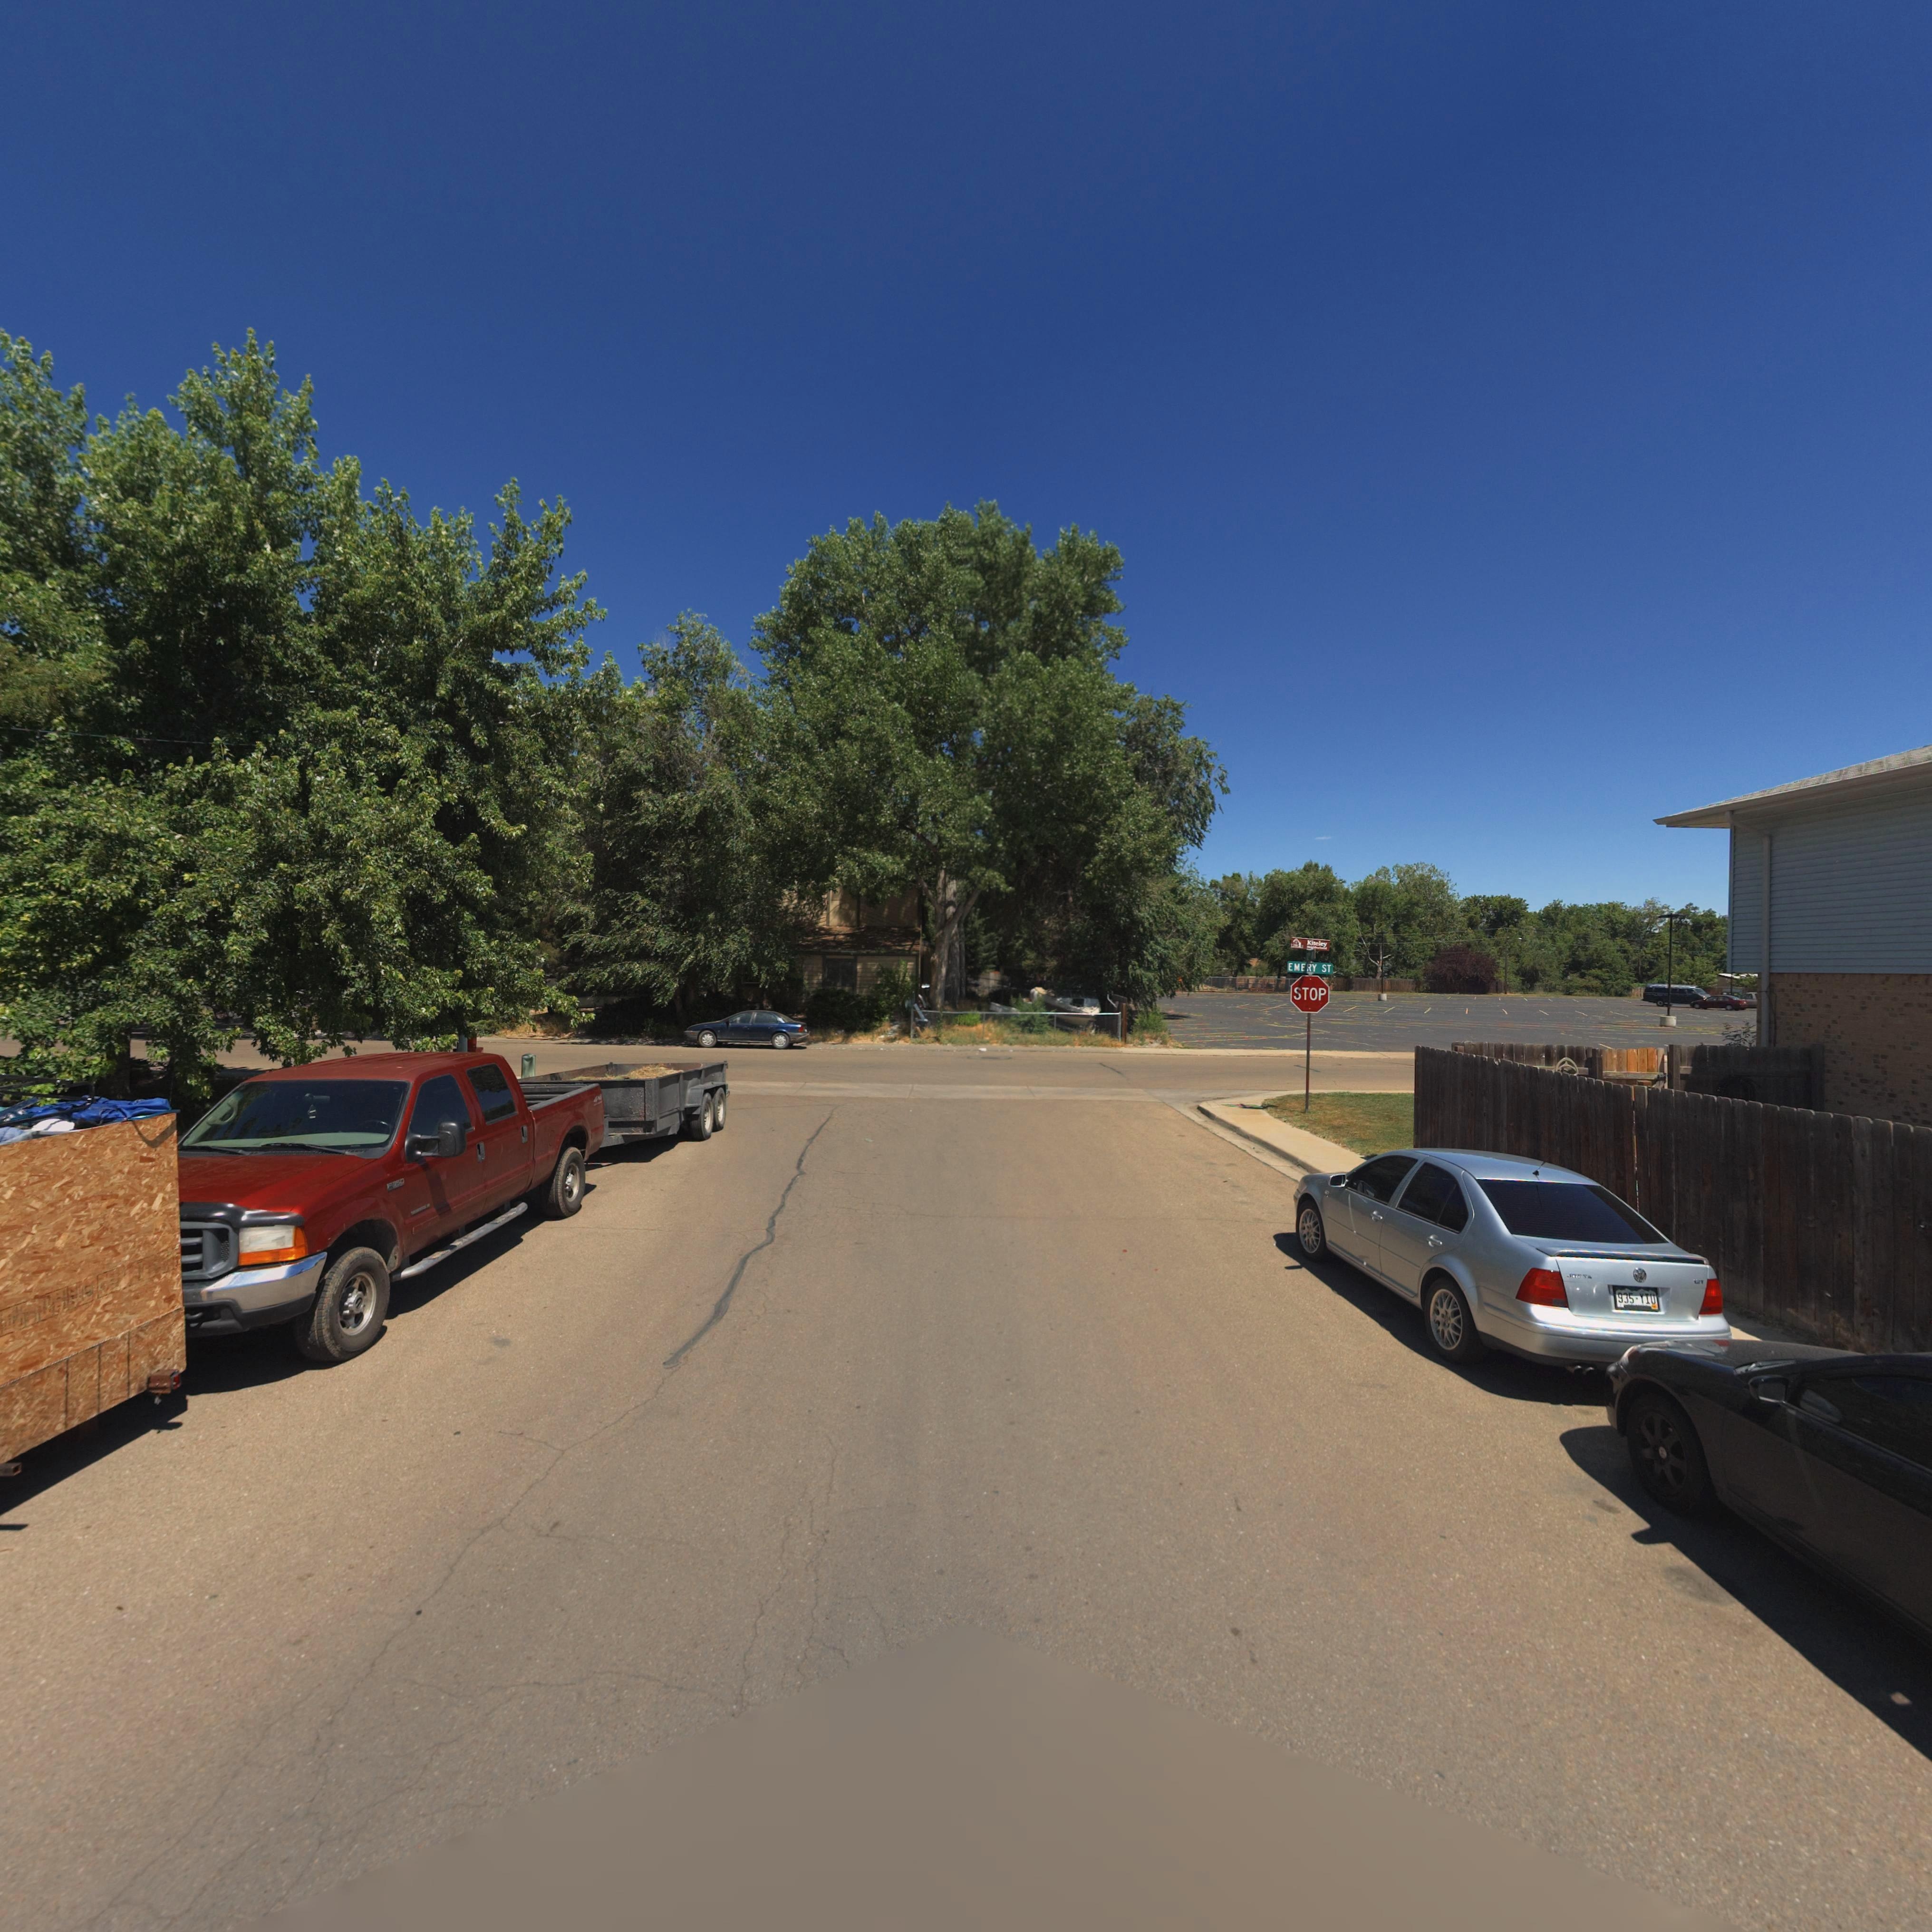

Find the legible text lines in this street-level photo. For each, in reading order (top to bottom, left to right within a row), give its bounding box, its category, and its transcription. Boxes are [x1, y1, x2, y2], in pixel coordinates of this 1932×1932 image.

[1288, 963, 1332, 973] StreetName: EMERY ST